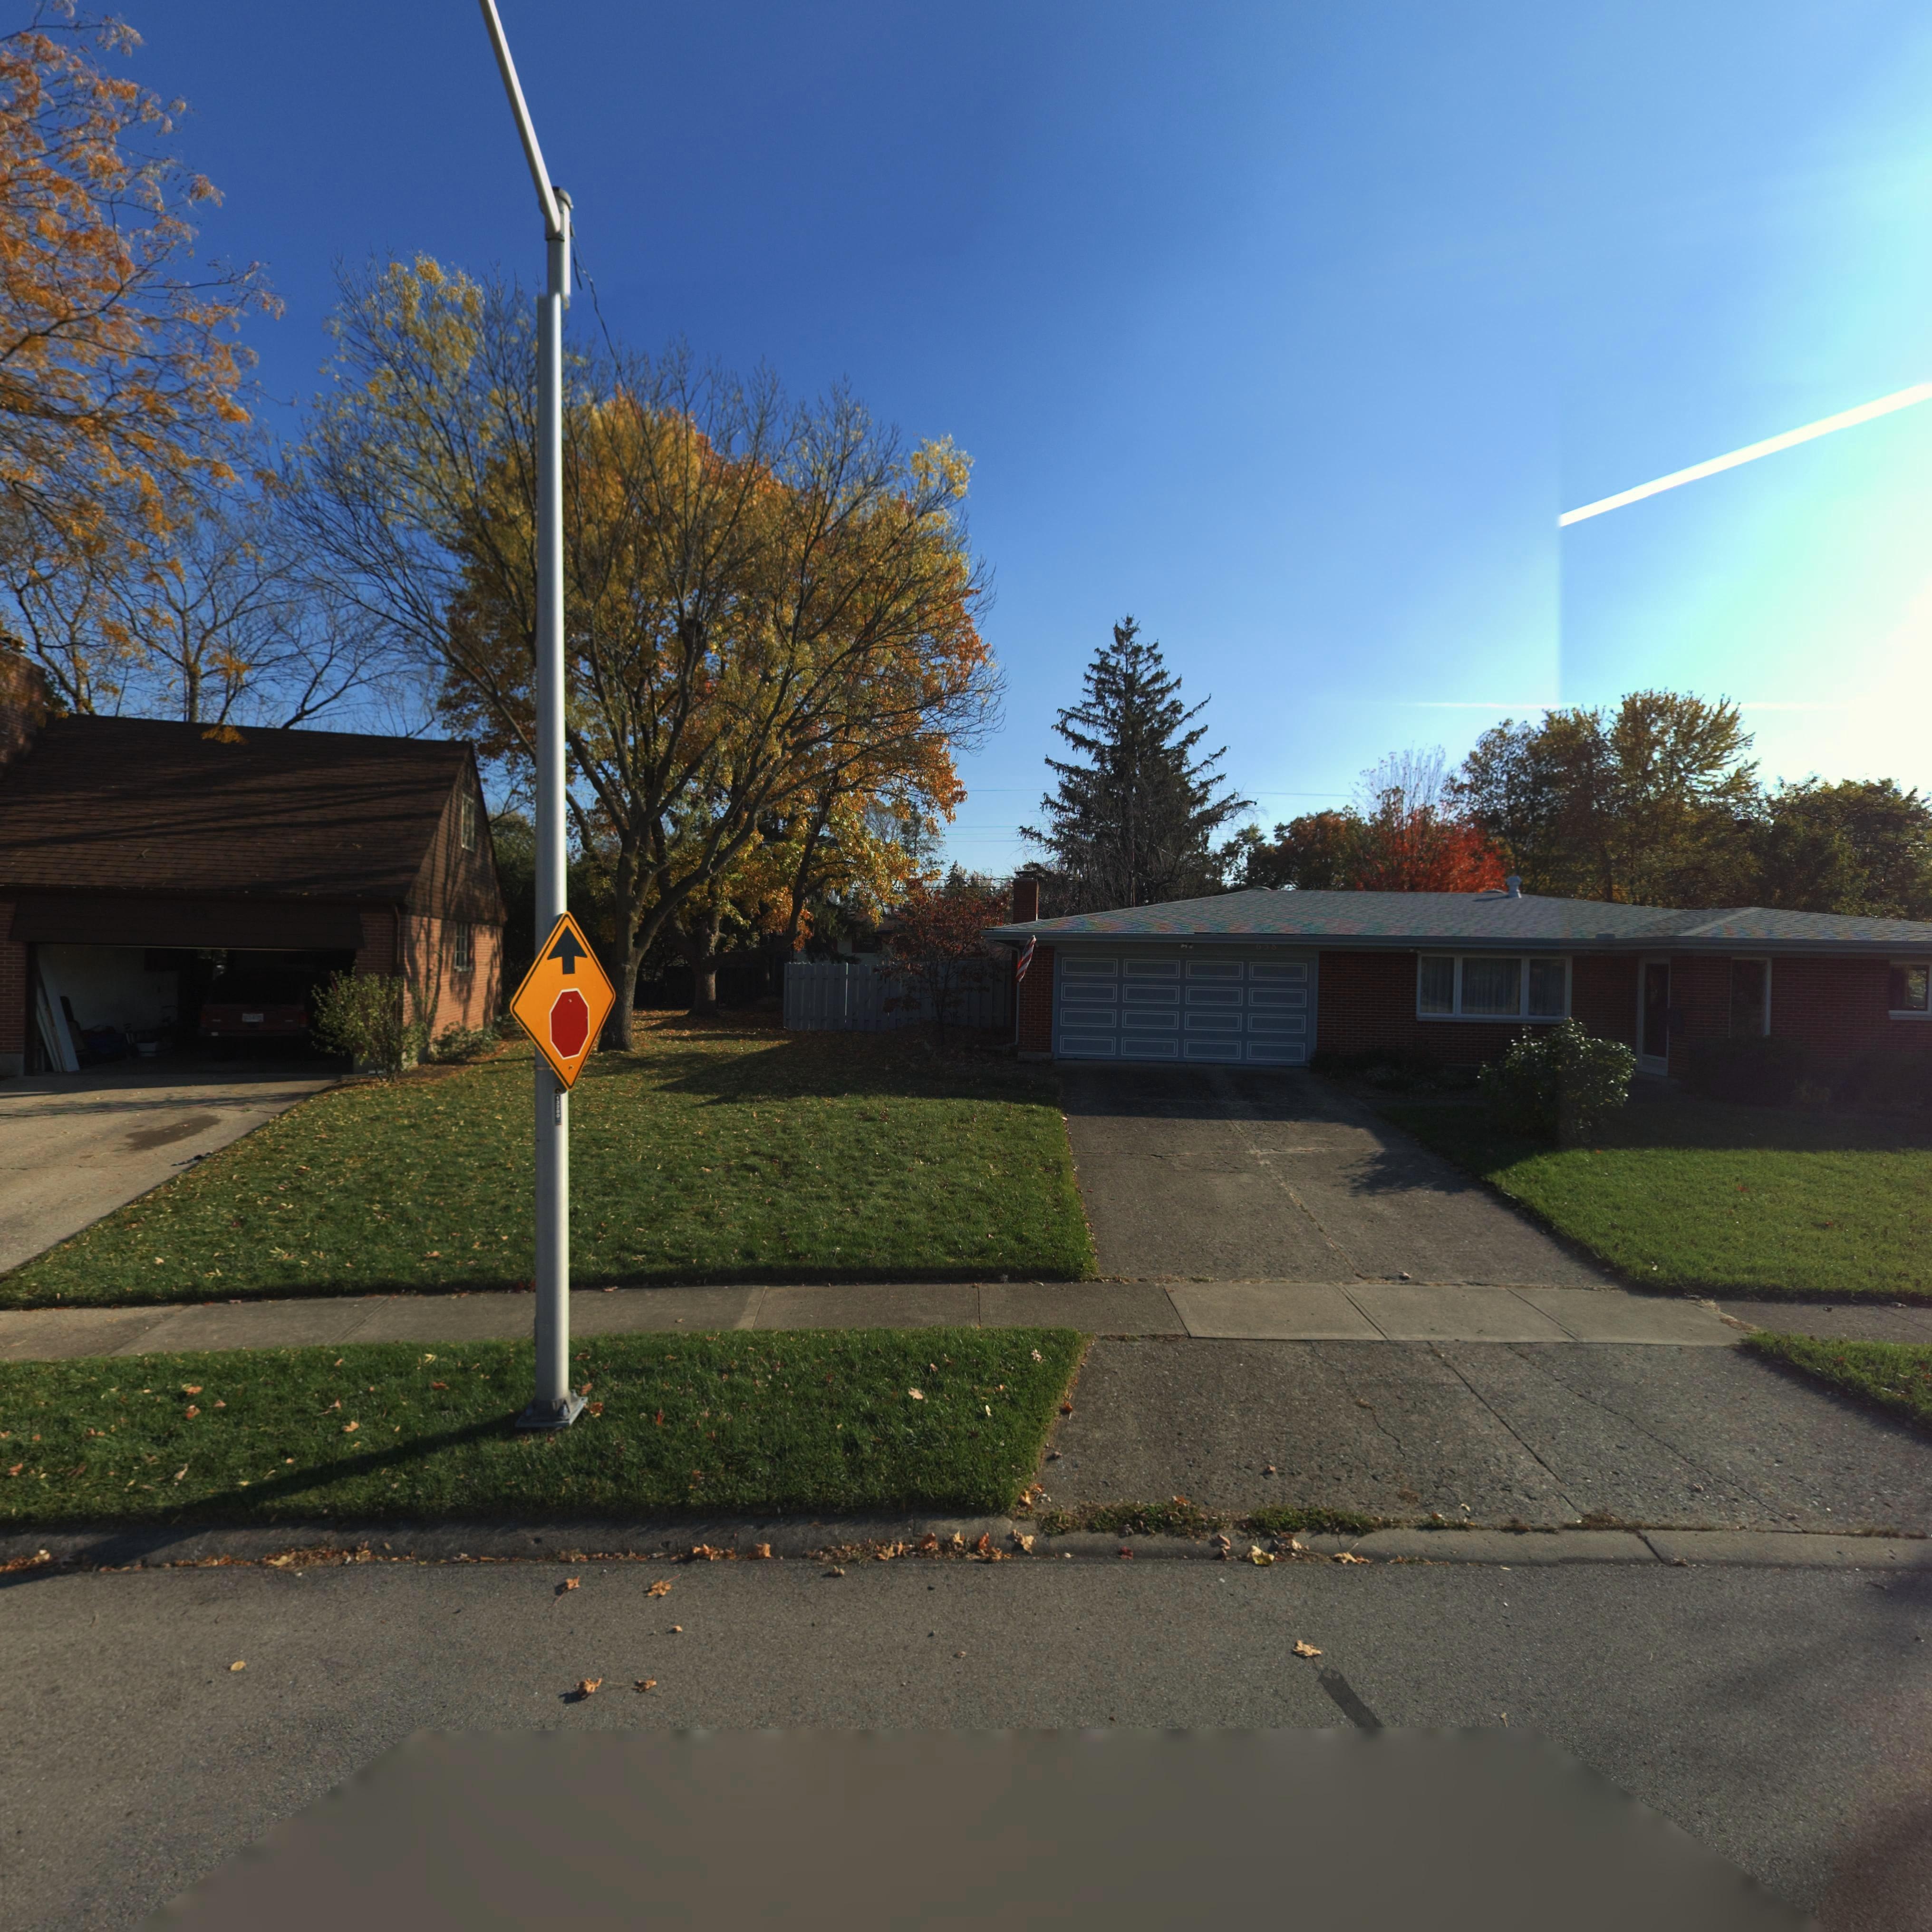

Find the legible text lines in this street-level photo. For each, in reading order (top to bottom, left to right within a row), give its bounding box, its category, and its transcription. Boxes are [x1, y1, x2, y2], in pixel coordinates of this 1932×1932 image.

[1255, 942, 1276, 949] StreetNumber: 658